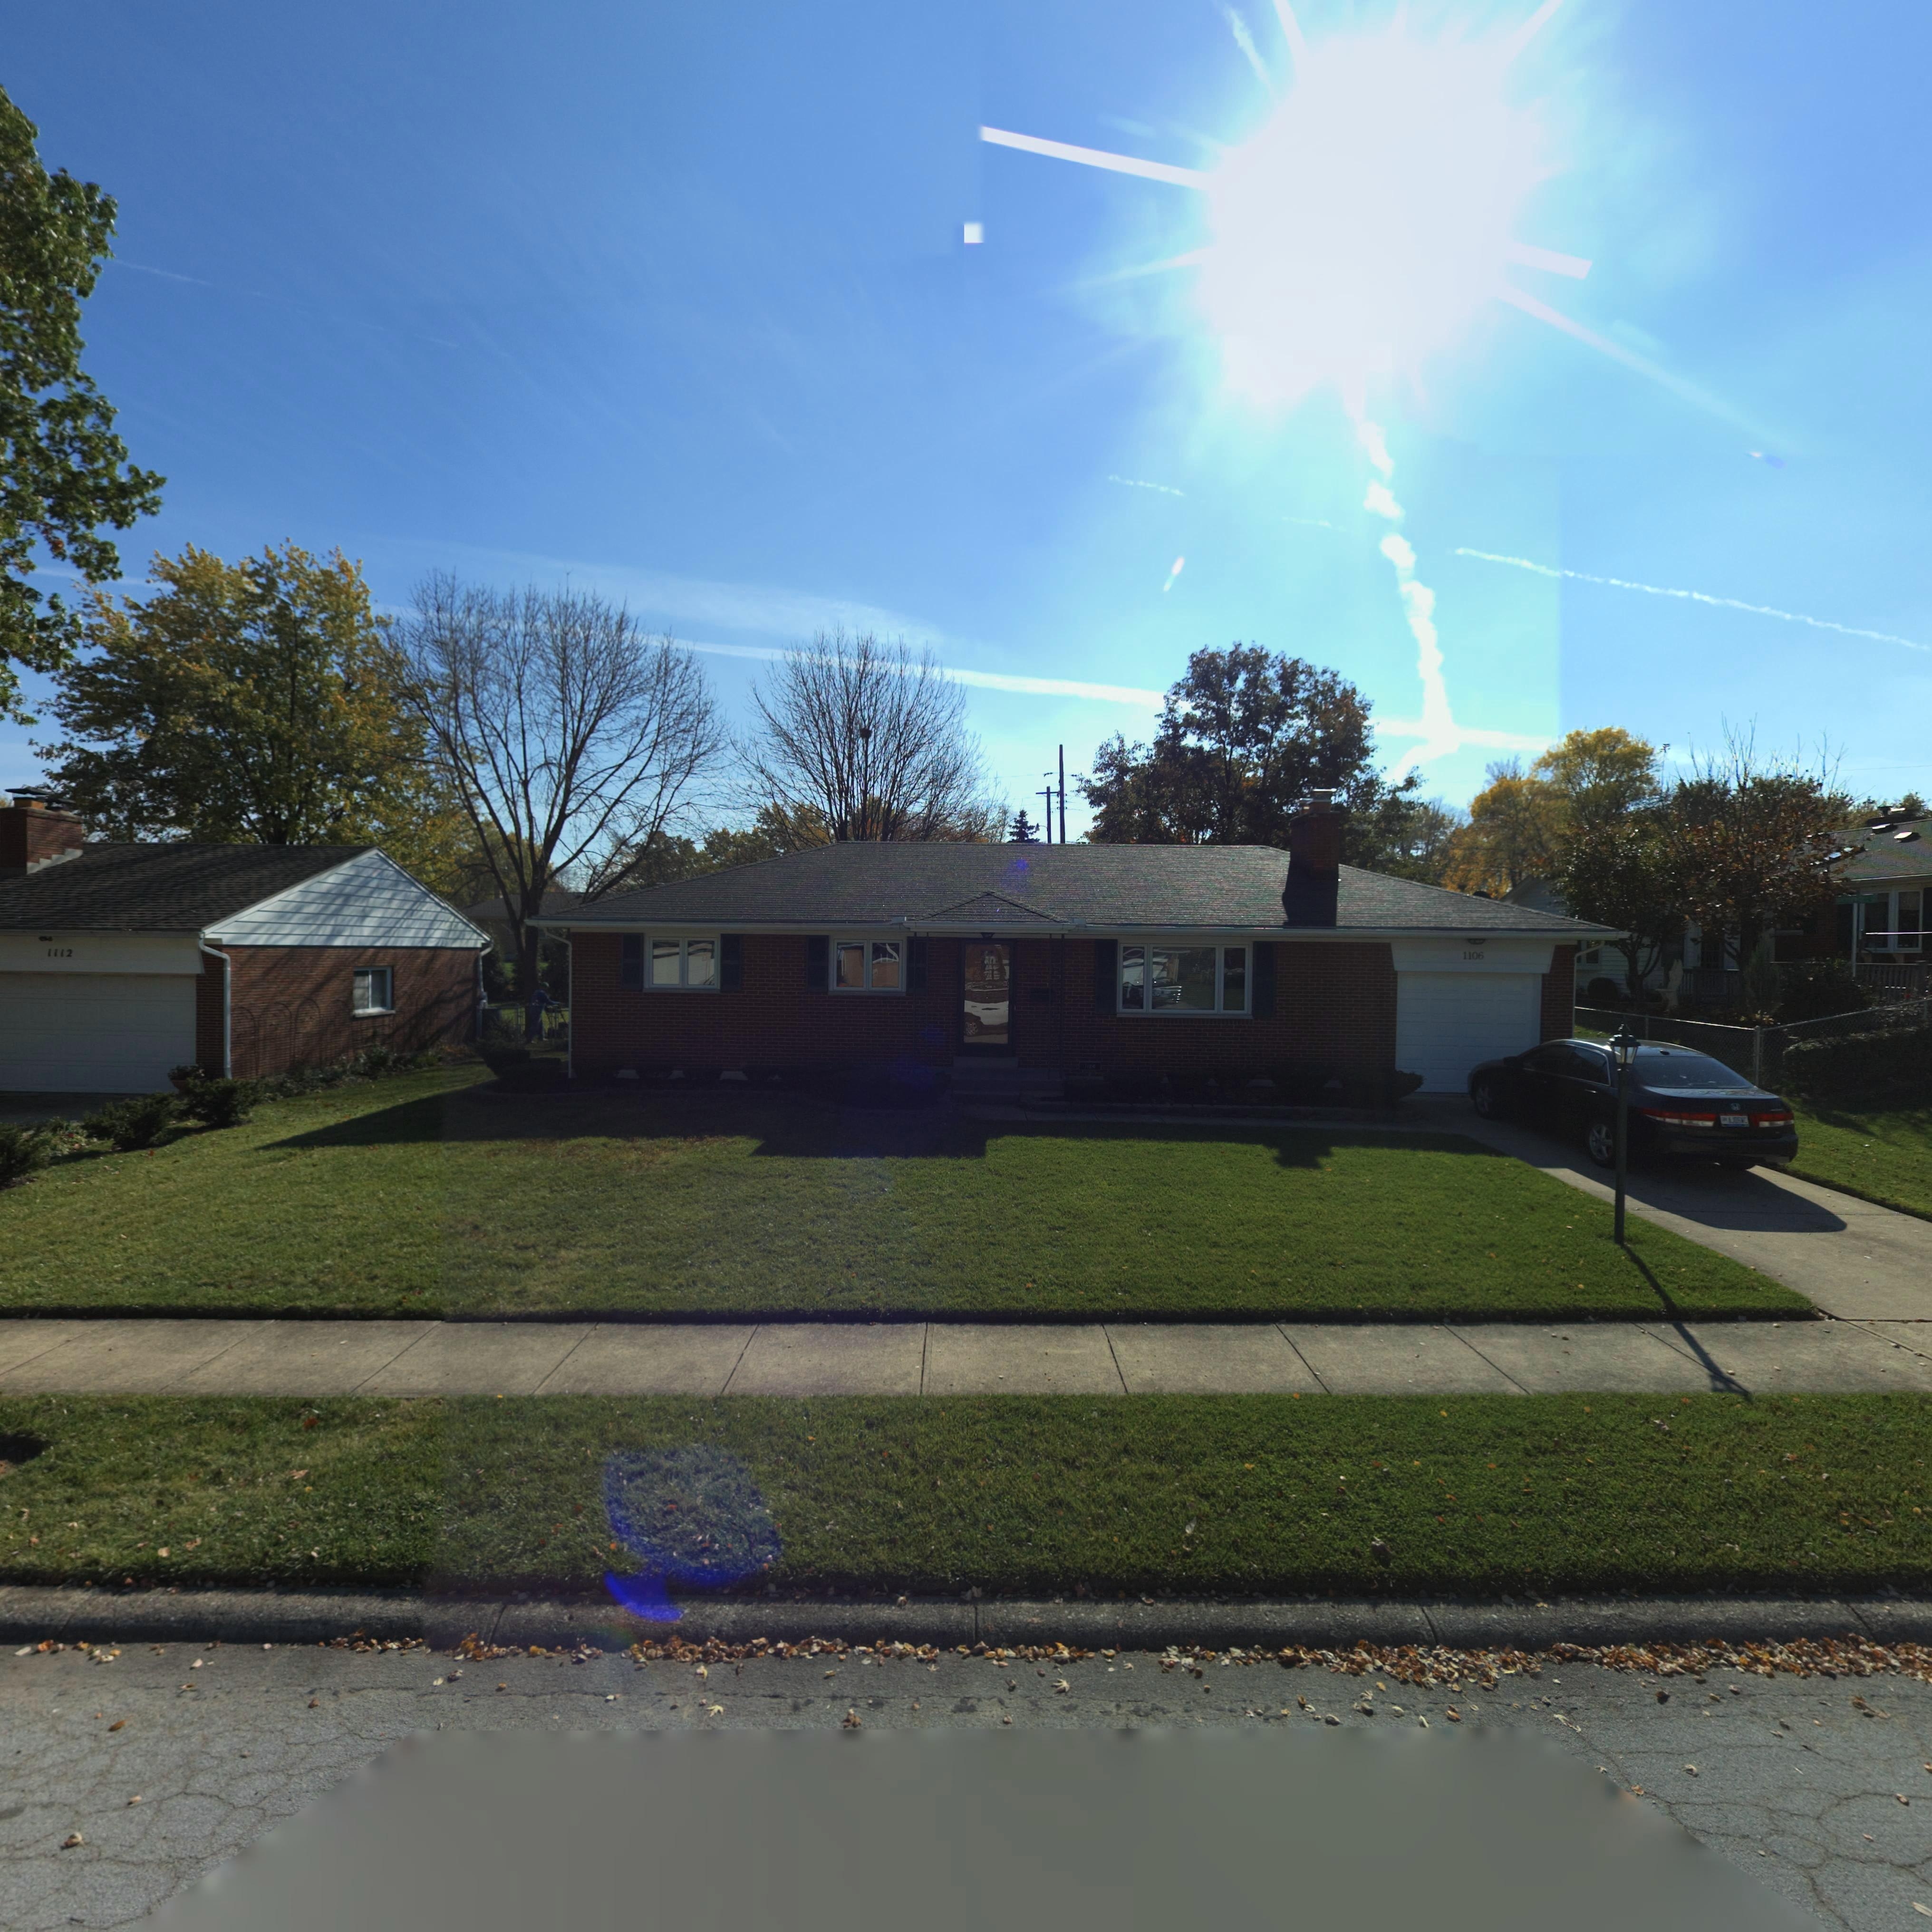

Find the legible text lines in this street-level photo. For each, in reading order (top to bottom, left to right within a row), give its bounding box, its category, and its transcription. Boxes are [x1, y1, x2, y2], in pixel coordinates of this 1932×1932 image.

[47, 947, 73, 957] StreetNumber: 1112
[1463, 951, 1484, 960] StreetNumber: 1106
[1727, 1116, 1748, 1123] None: AJ062WC